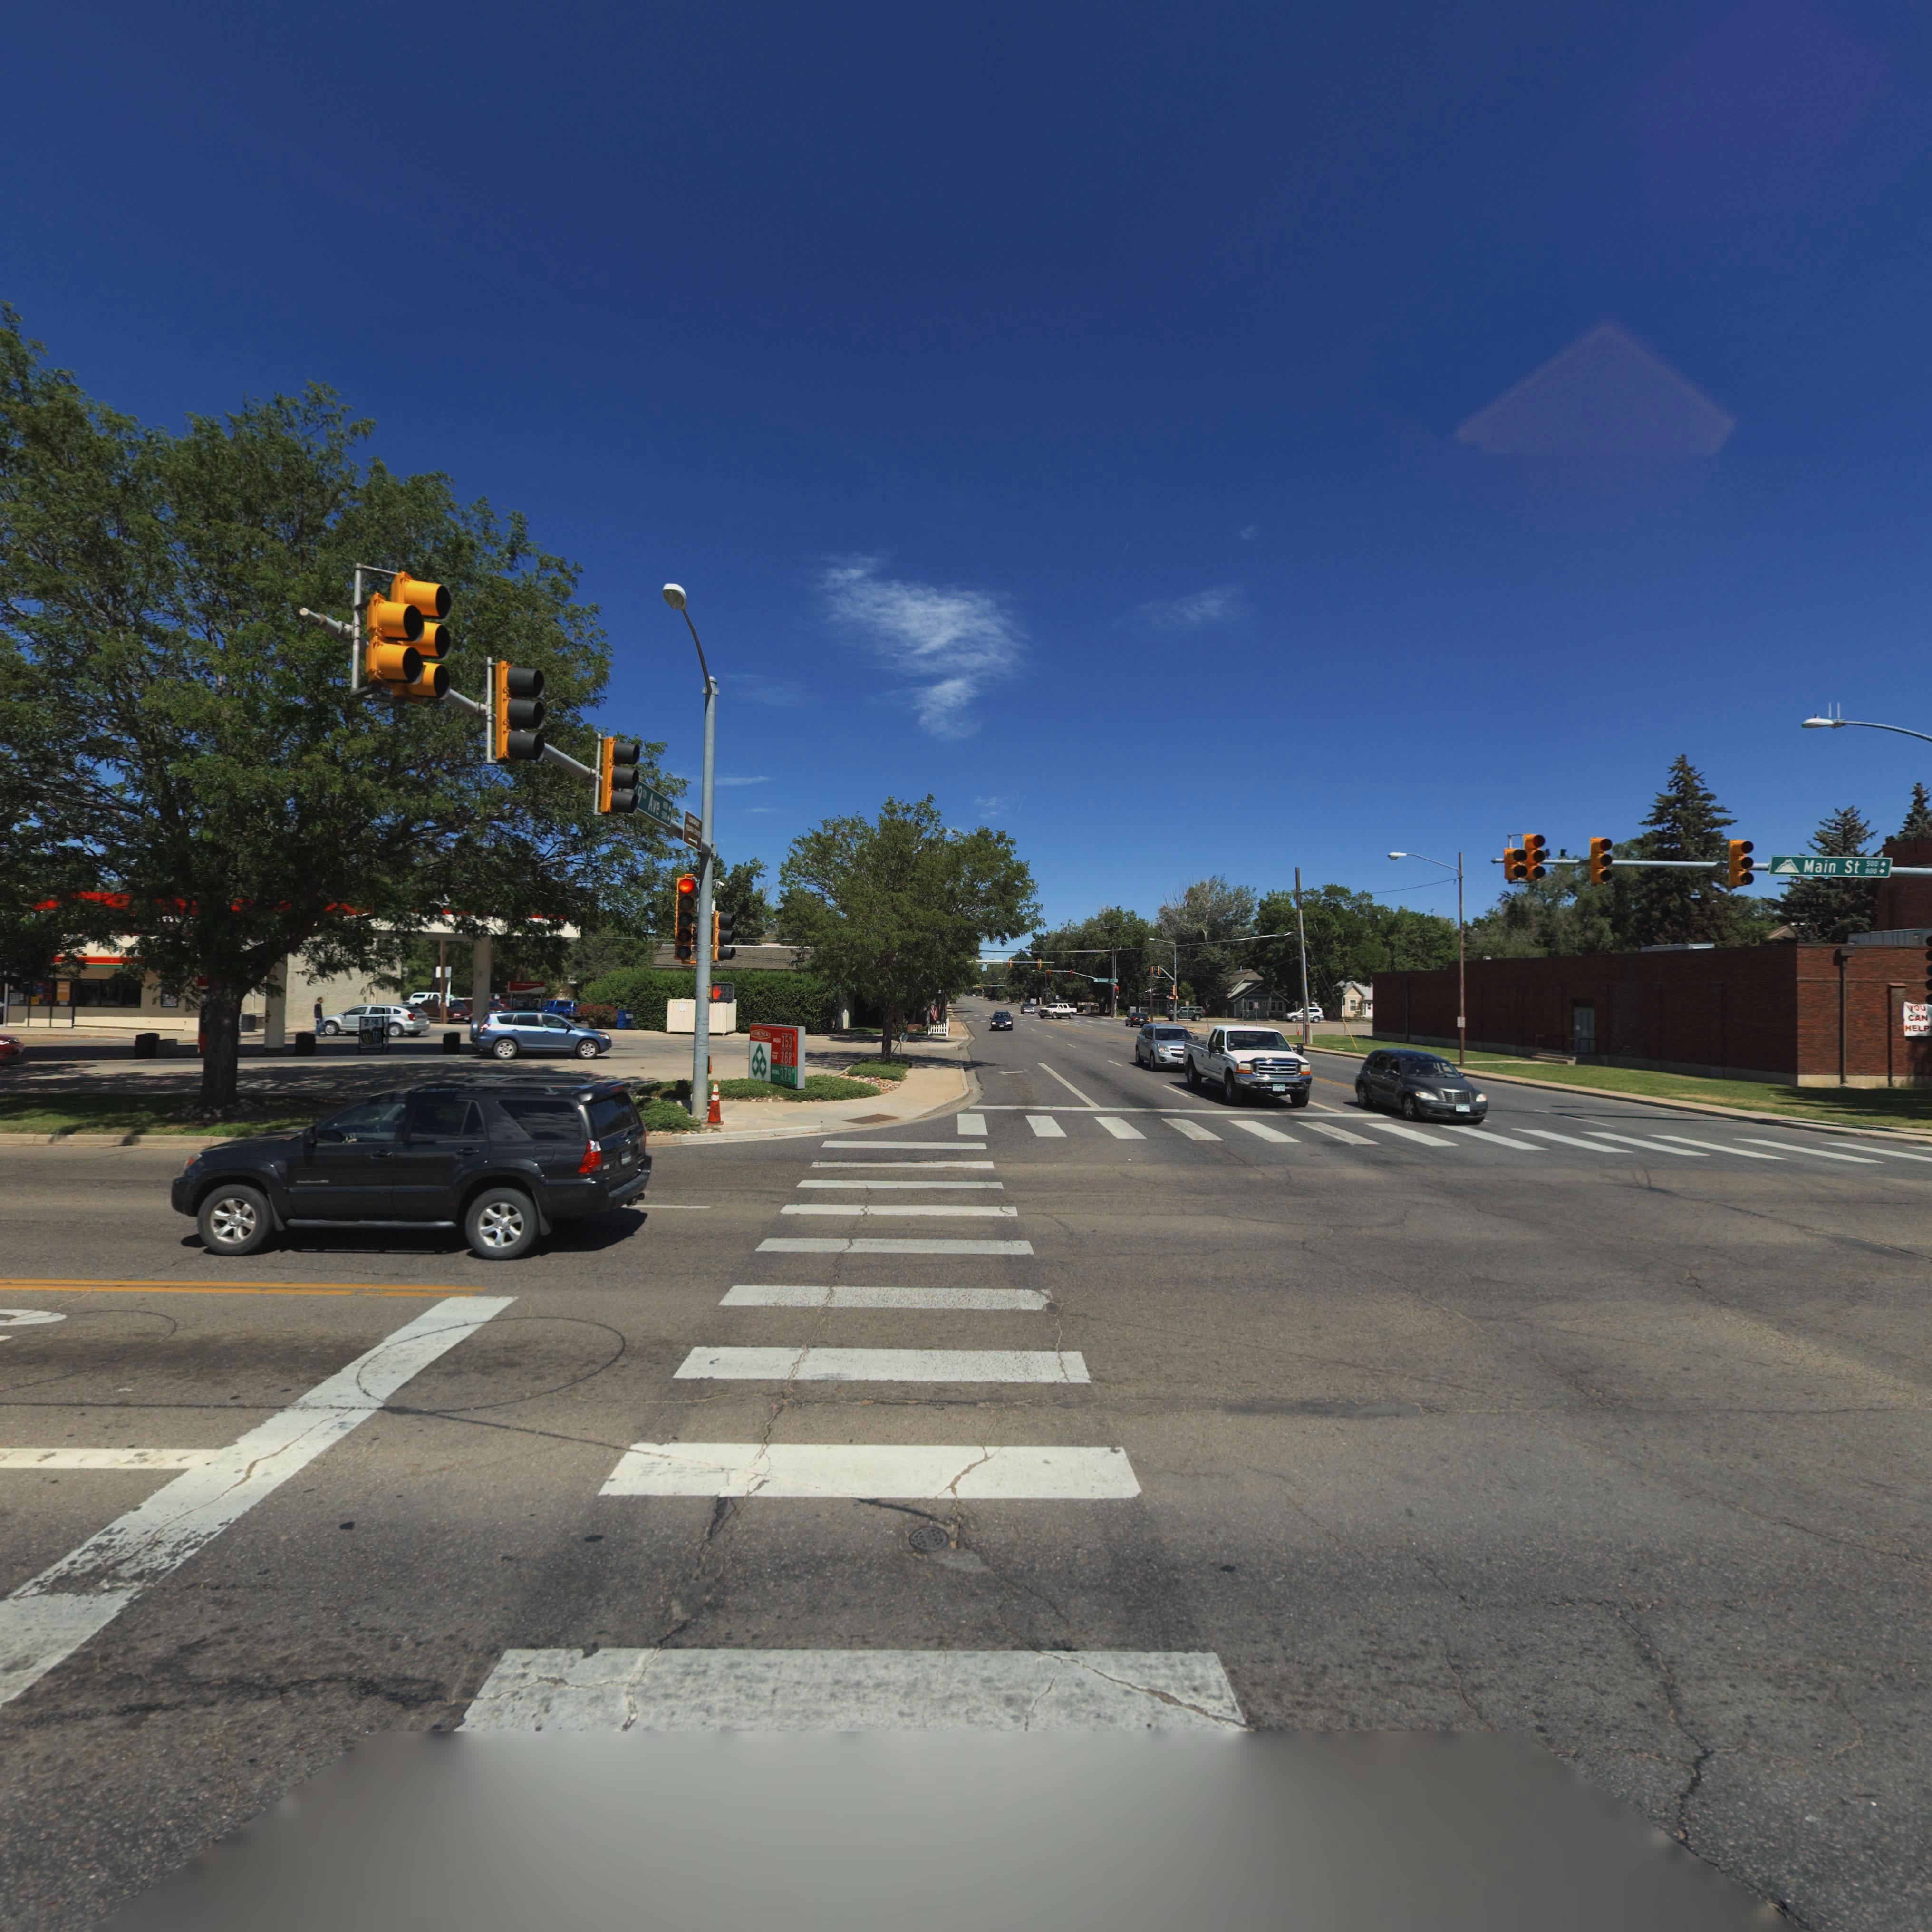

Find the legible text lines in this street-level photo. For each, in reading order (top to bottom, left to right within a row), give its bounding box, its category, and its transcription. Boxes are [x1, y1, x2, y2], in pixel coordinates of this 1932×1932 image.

[637, 785, 660, 816] StreetName: 9th Ave
[662, 801, 668, 811] StreetNumberRange: 900
[661, 810, 670, 821] StreetNumberRange: *00->
[1803, 859, 1860, 874] StreetName: Main St
[1866, 860, 1879, 867] StreetNumber: 500
[1865, 867, 1885, 874] StreetNumberRange: 800->
[752, 1030, 769, 1037] BusinessName: CO*NER